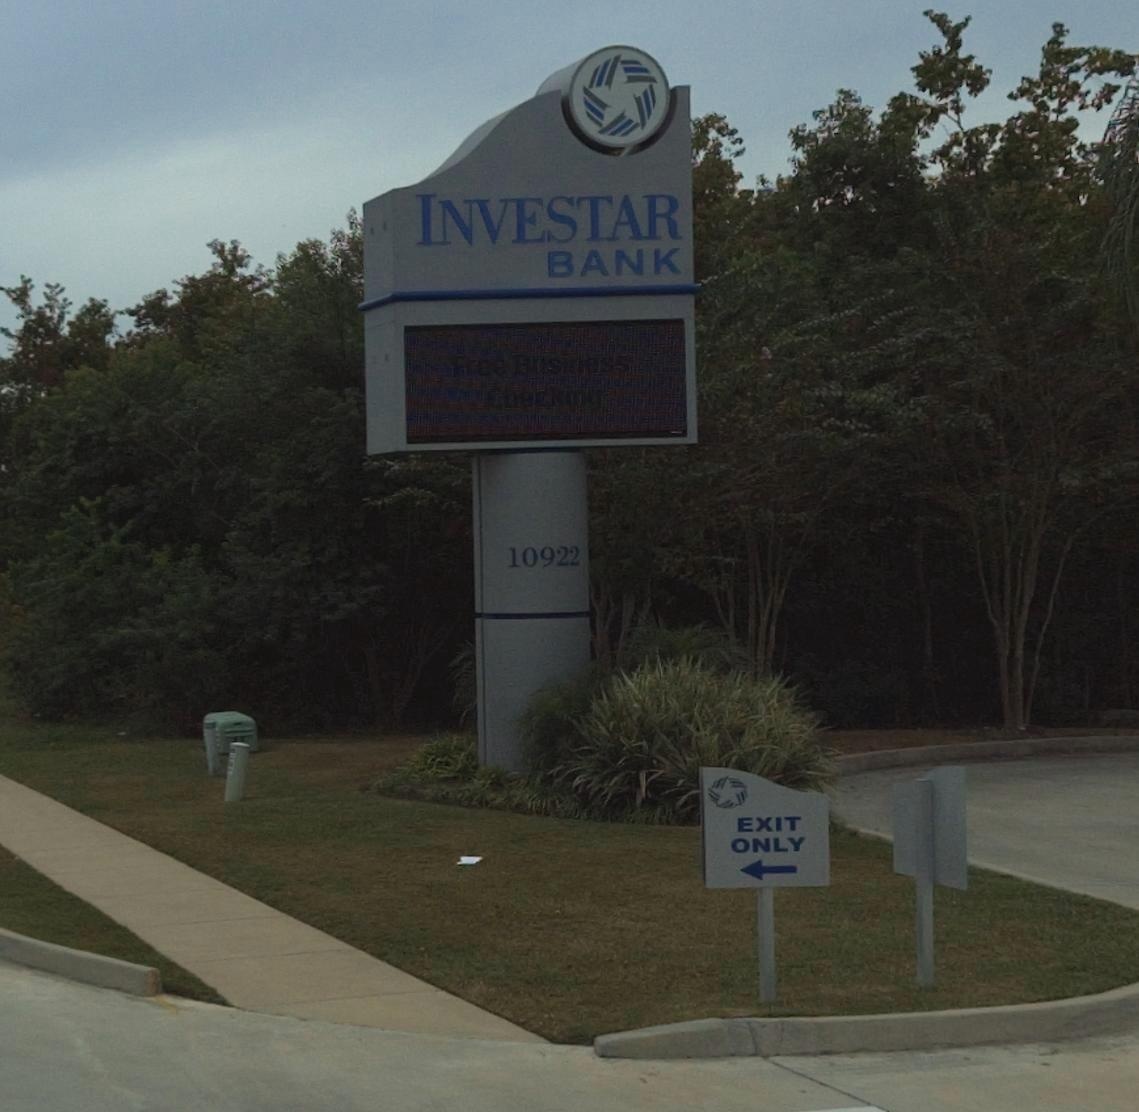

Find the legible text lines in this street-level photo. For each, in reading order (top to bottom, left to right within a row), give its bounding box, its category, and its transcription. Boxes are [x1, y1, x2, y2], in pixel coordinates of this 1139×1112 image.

[414, 193, 685, 246] BusinessName: INVESTAR
[546, 247, 685, 279] BusinessName: BANK
[452, 353, 630, 379] None: Free Business
[486, 386, 605, 412] None: Checking
[506, 545, 581, 569] StreetNumber: 10922
[736, 815, 802, 833] None: EXIT
[730, 836, 806, 854] None: ONLY